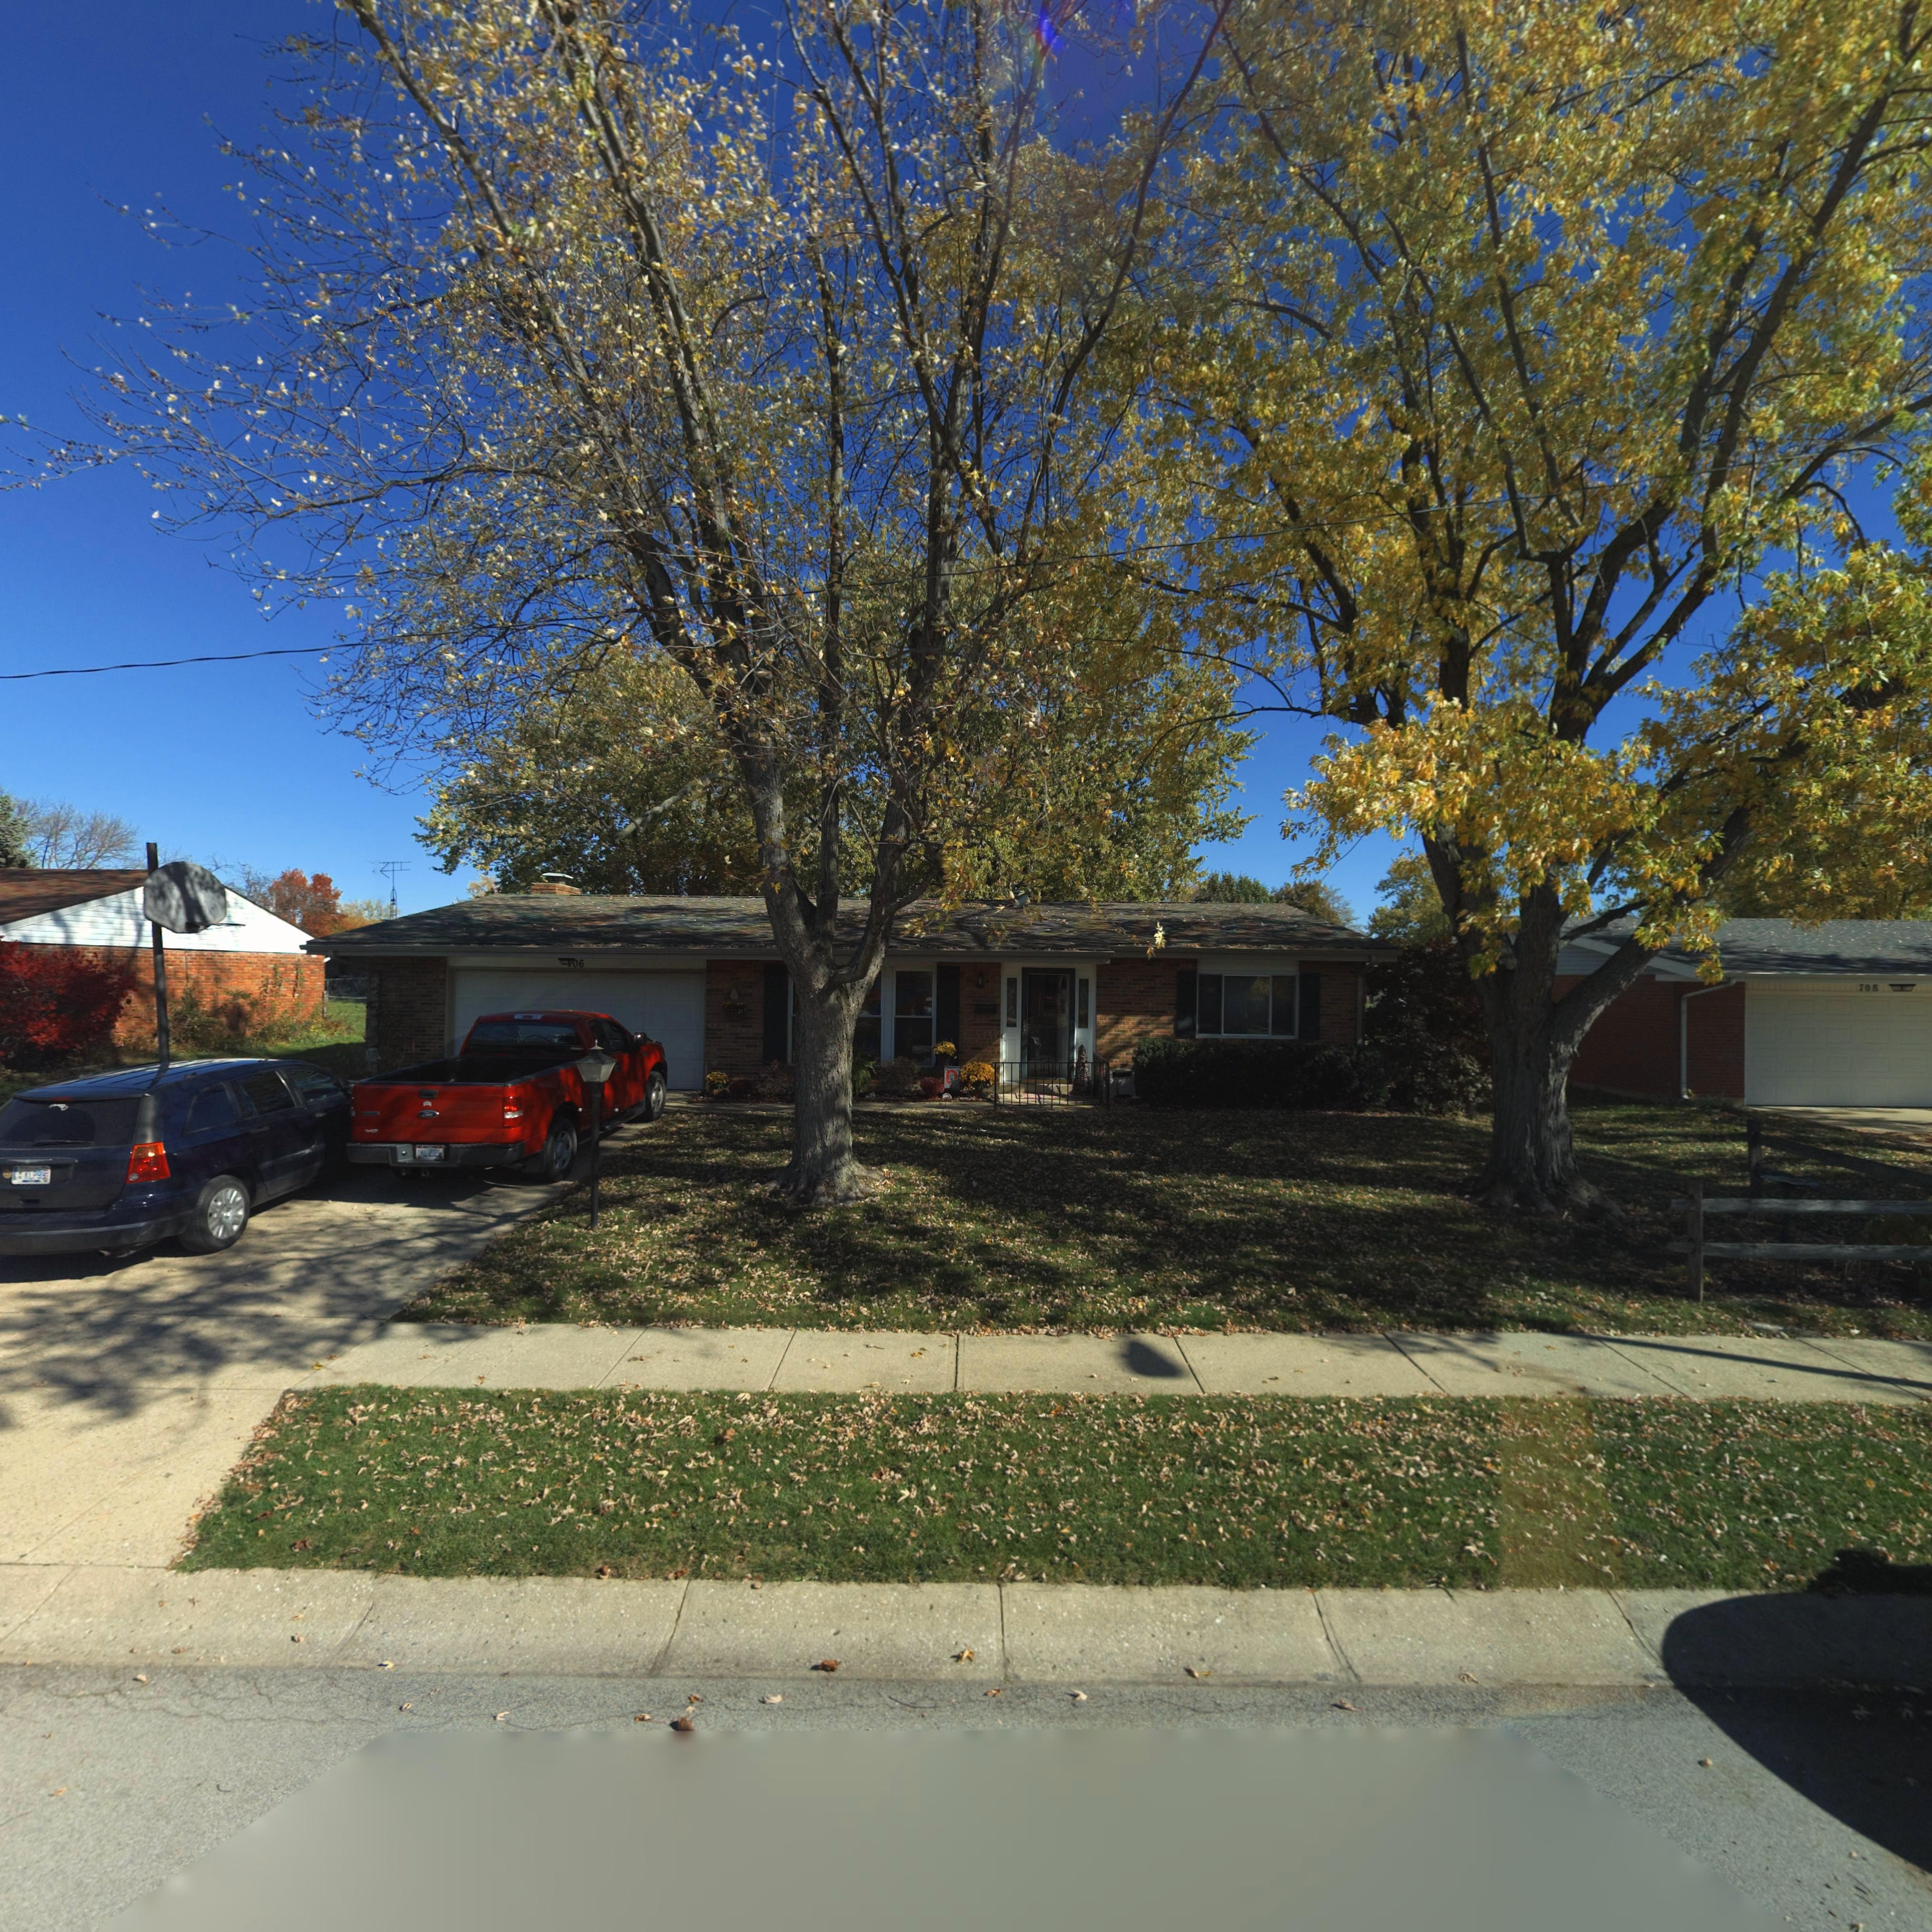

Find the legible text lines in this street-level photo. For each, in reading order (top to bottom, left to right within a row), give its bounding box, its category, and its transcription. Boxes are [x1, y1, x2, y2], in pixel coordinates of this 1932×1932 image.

[572, 958, 584, 967] StreetNumber: 06
[1858, 983, 1878, 992] StreetNumber: 708